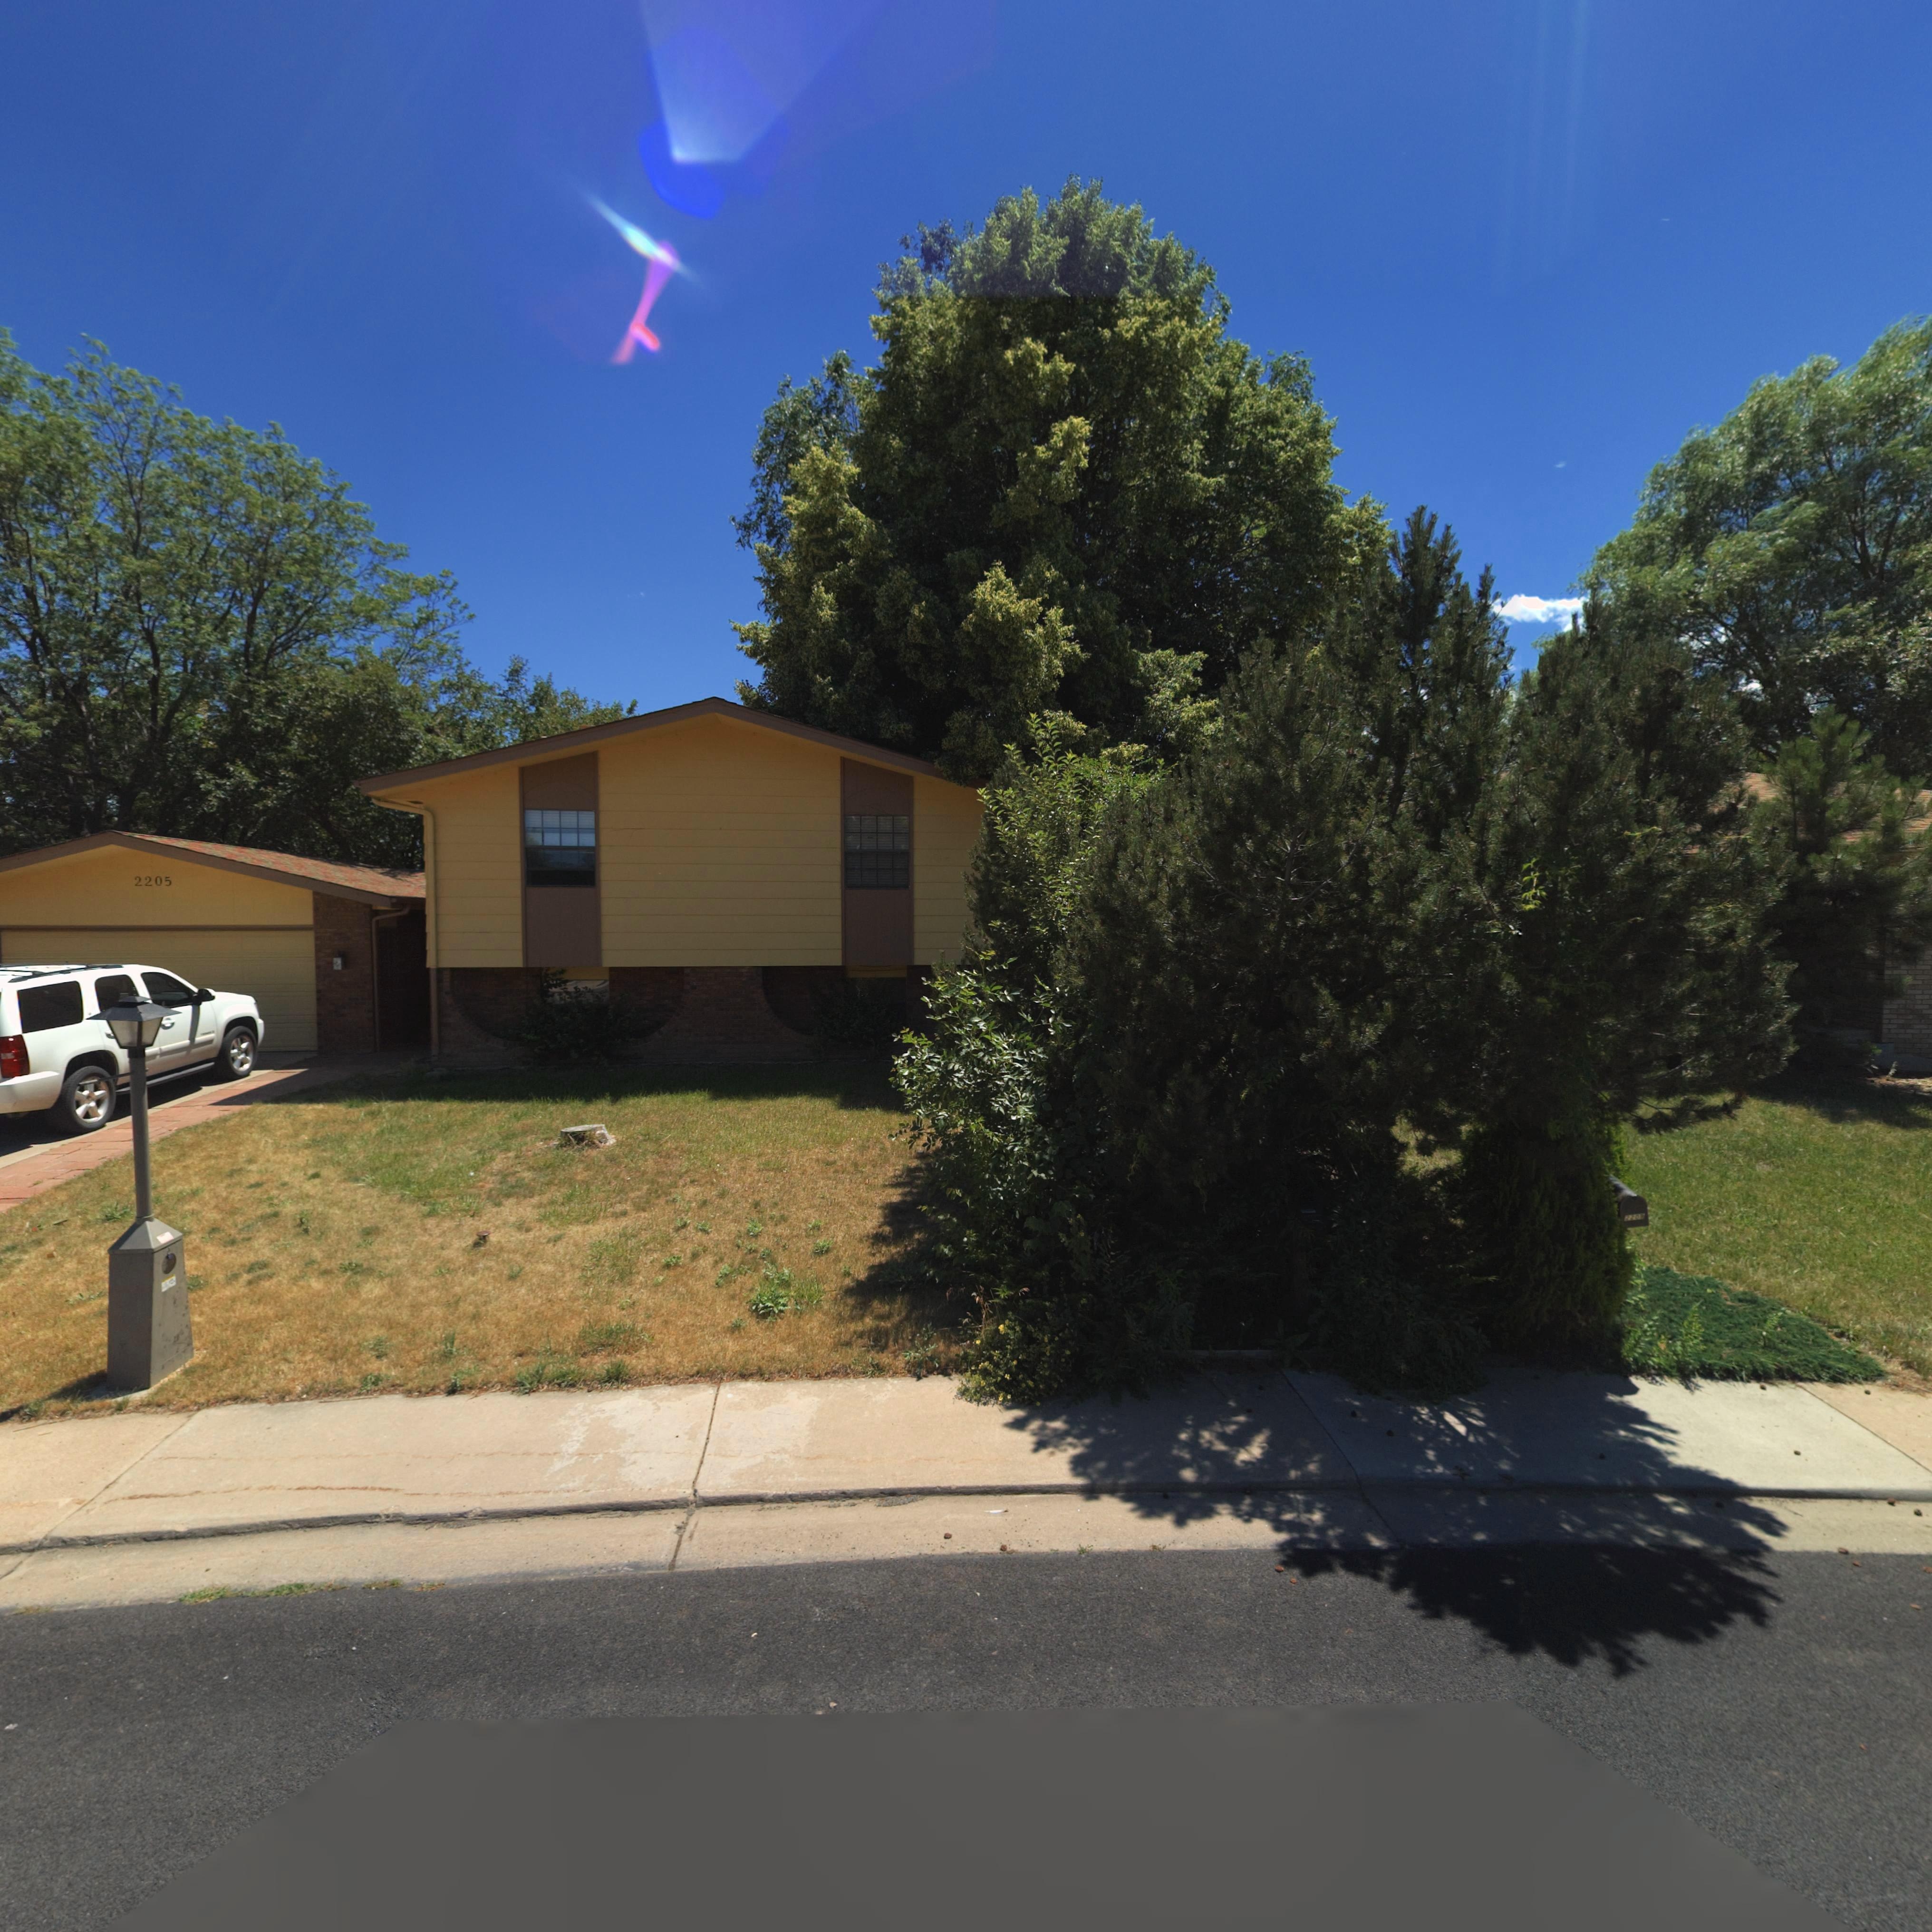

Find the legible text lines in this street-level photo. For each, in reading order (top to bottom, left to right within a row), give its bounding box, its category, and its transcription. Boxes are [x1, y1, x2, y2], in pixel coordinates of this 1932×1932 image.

[134, 876, 172, 886] StreetNumber: 2205